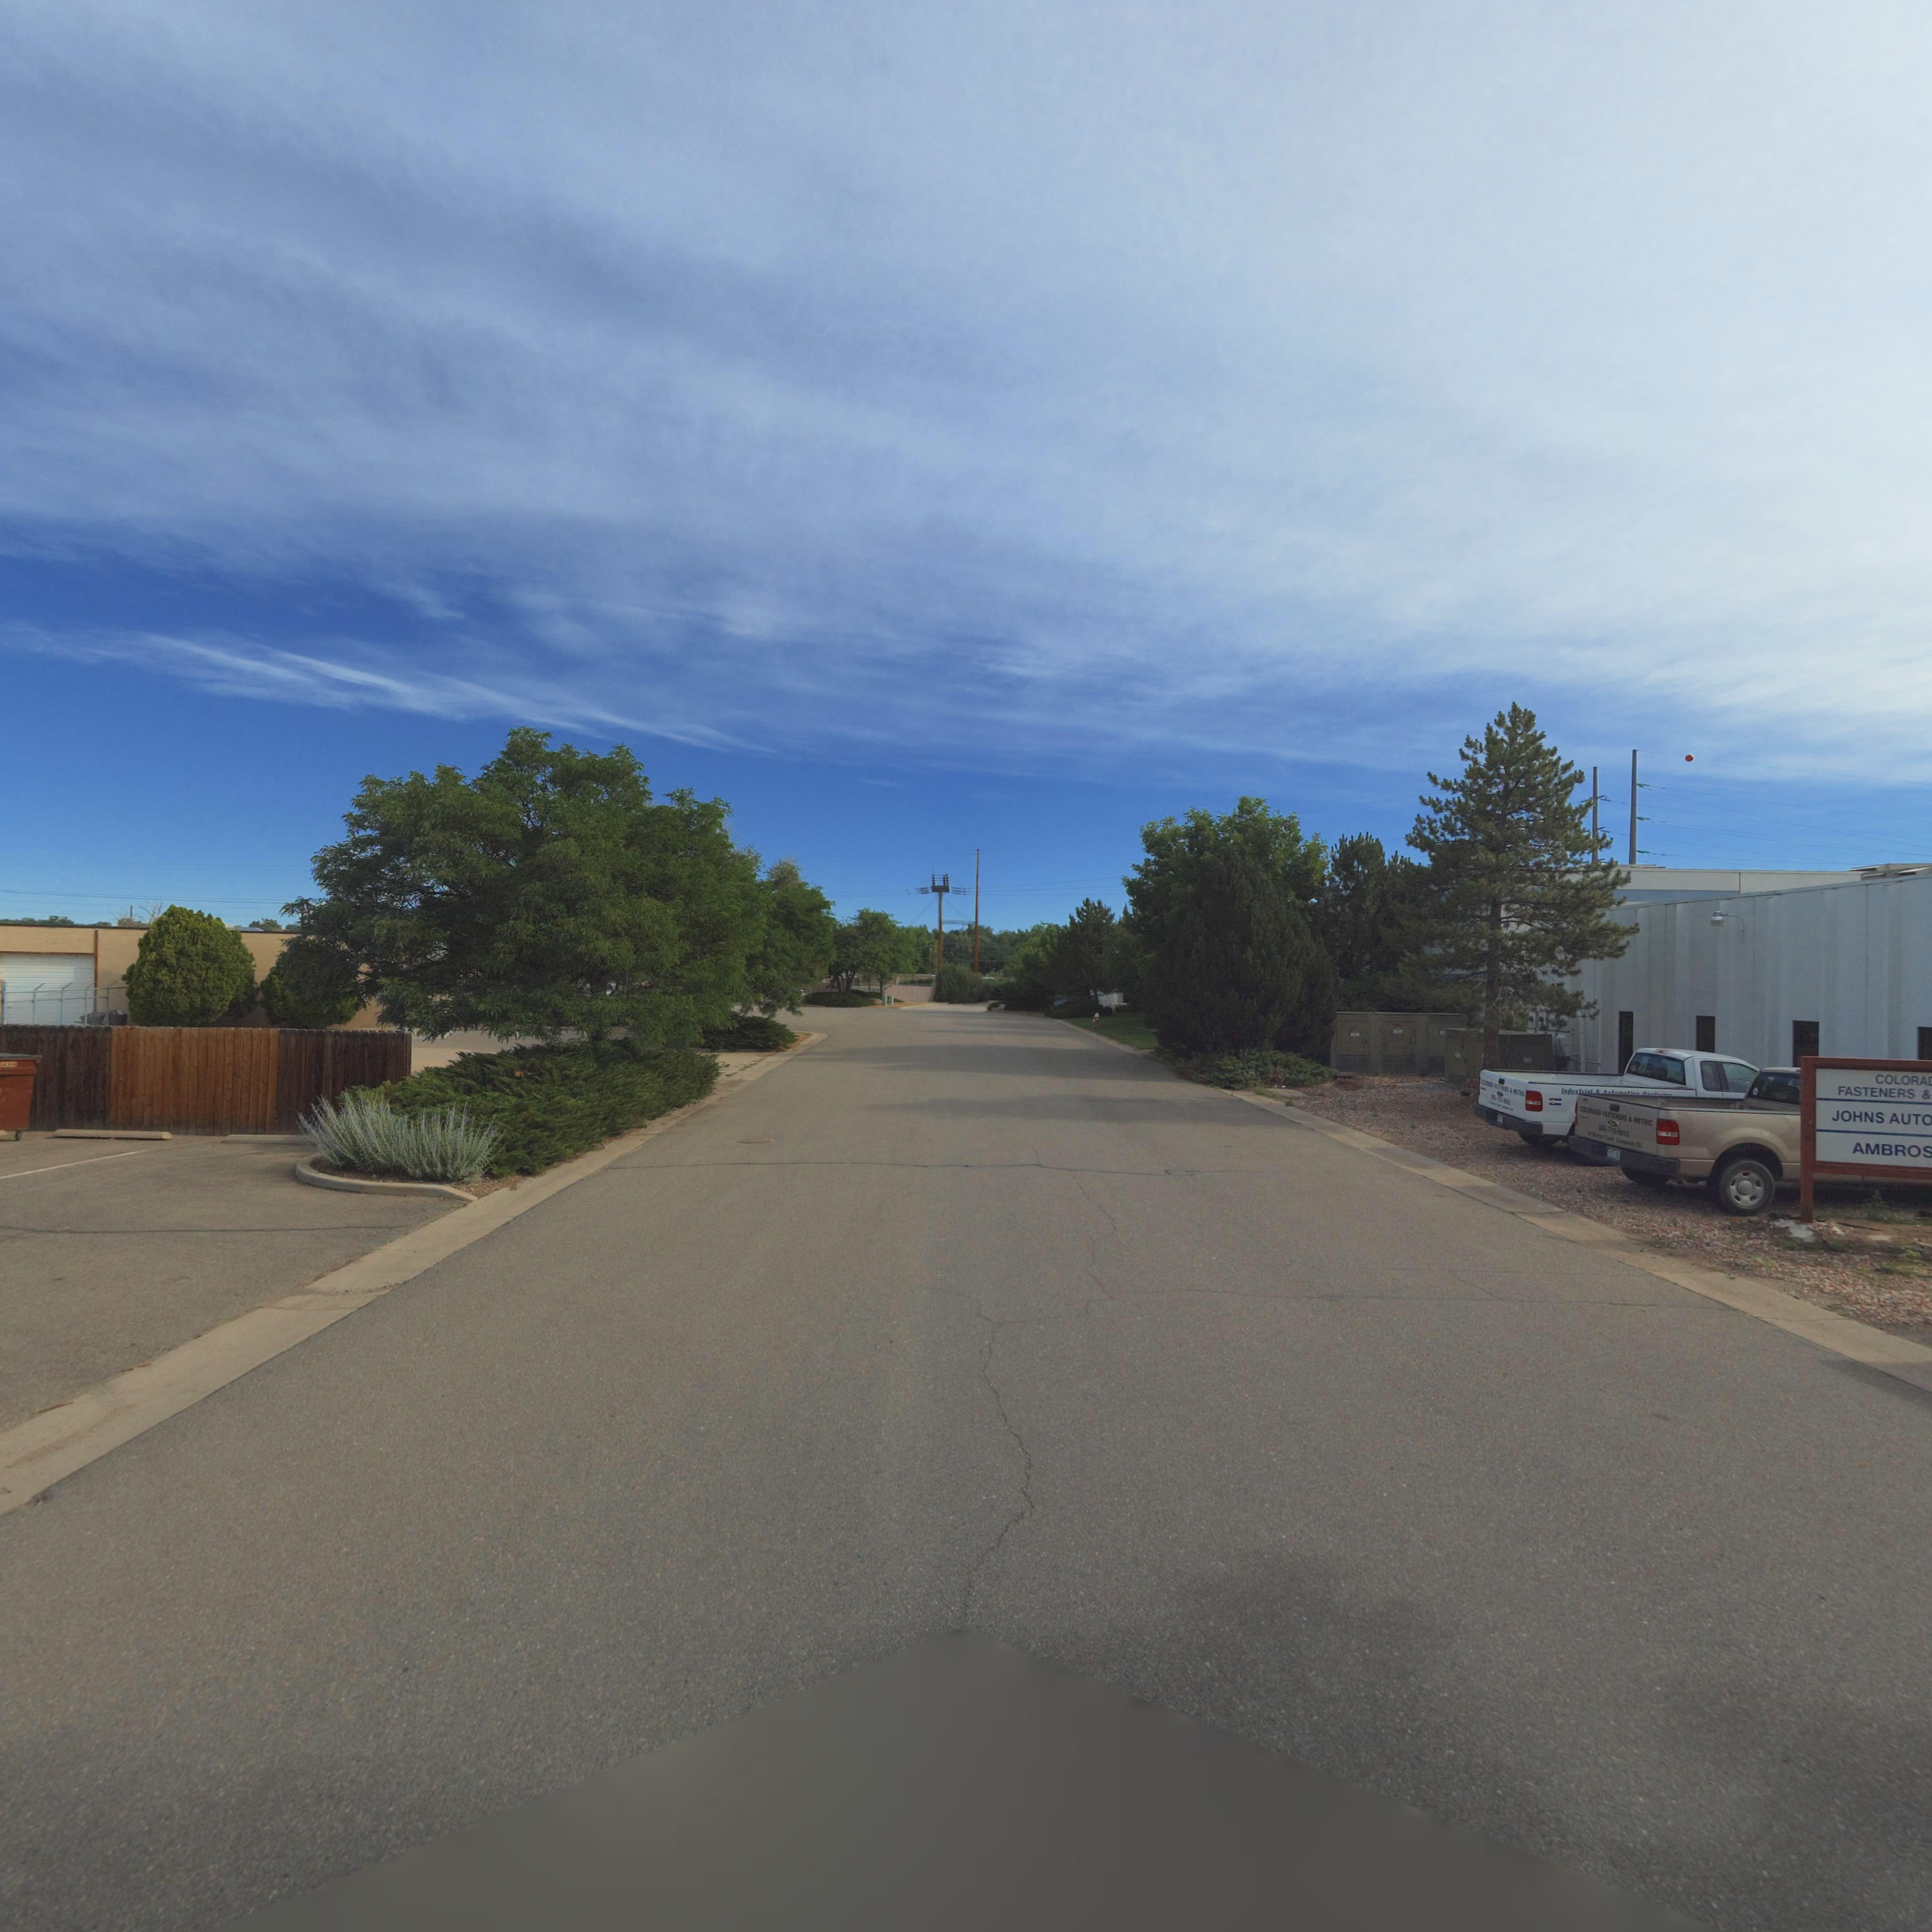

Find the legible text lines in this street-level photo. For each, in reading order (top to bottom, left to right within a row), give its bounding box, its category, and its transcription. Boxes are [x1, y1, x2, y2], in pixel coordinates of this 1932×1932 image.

[1875, 1073, 1929, 1086] BusinessName: COLORA
[1837, 1085, 1931, 1100] BusinessName: FASTENERS &
[1831, 1110, 1922, 1125] BusinessName: JOHNS AUT
[1852, 1141, 1922, 1158] BusinessName: AMBRO